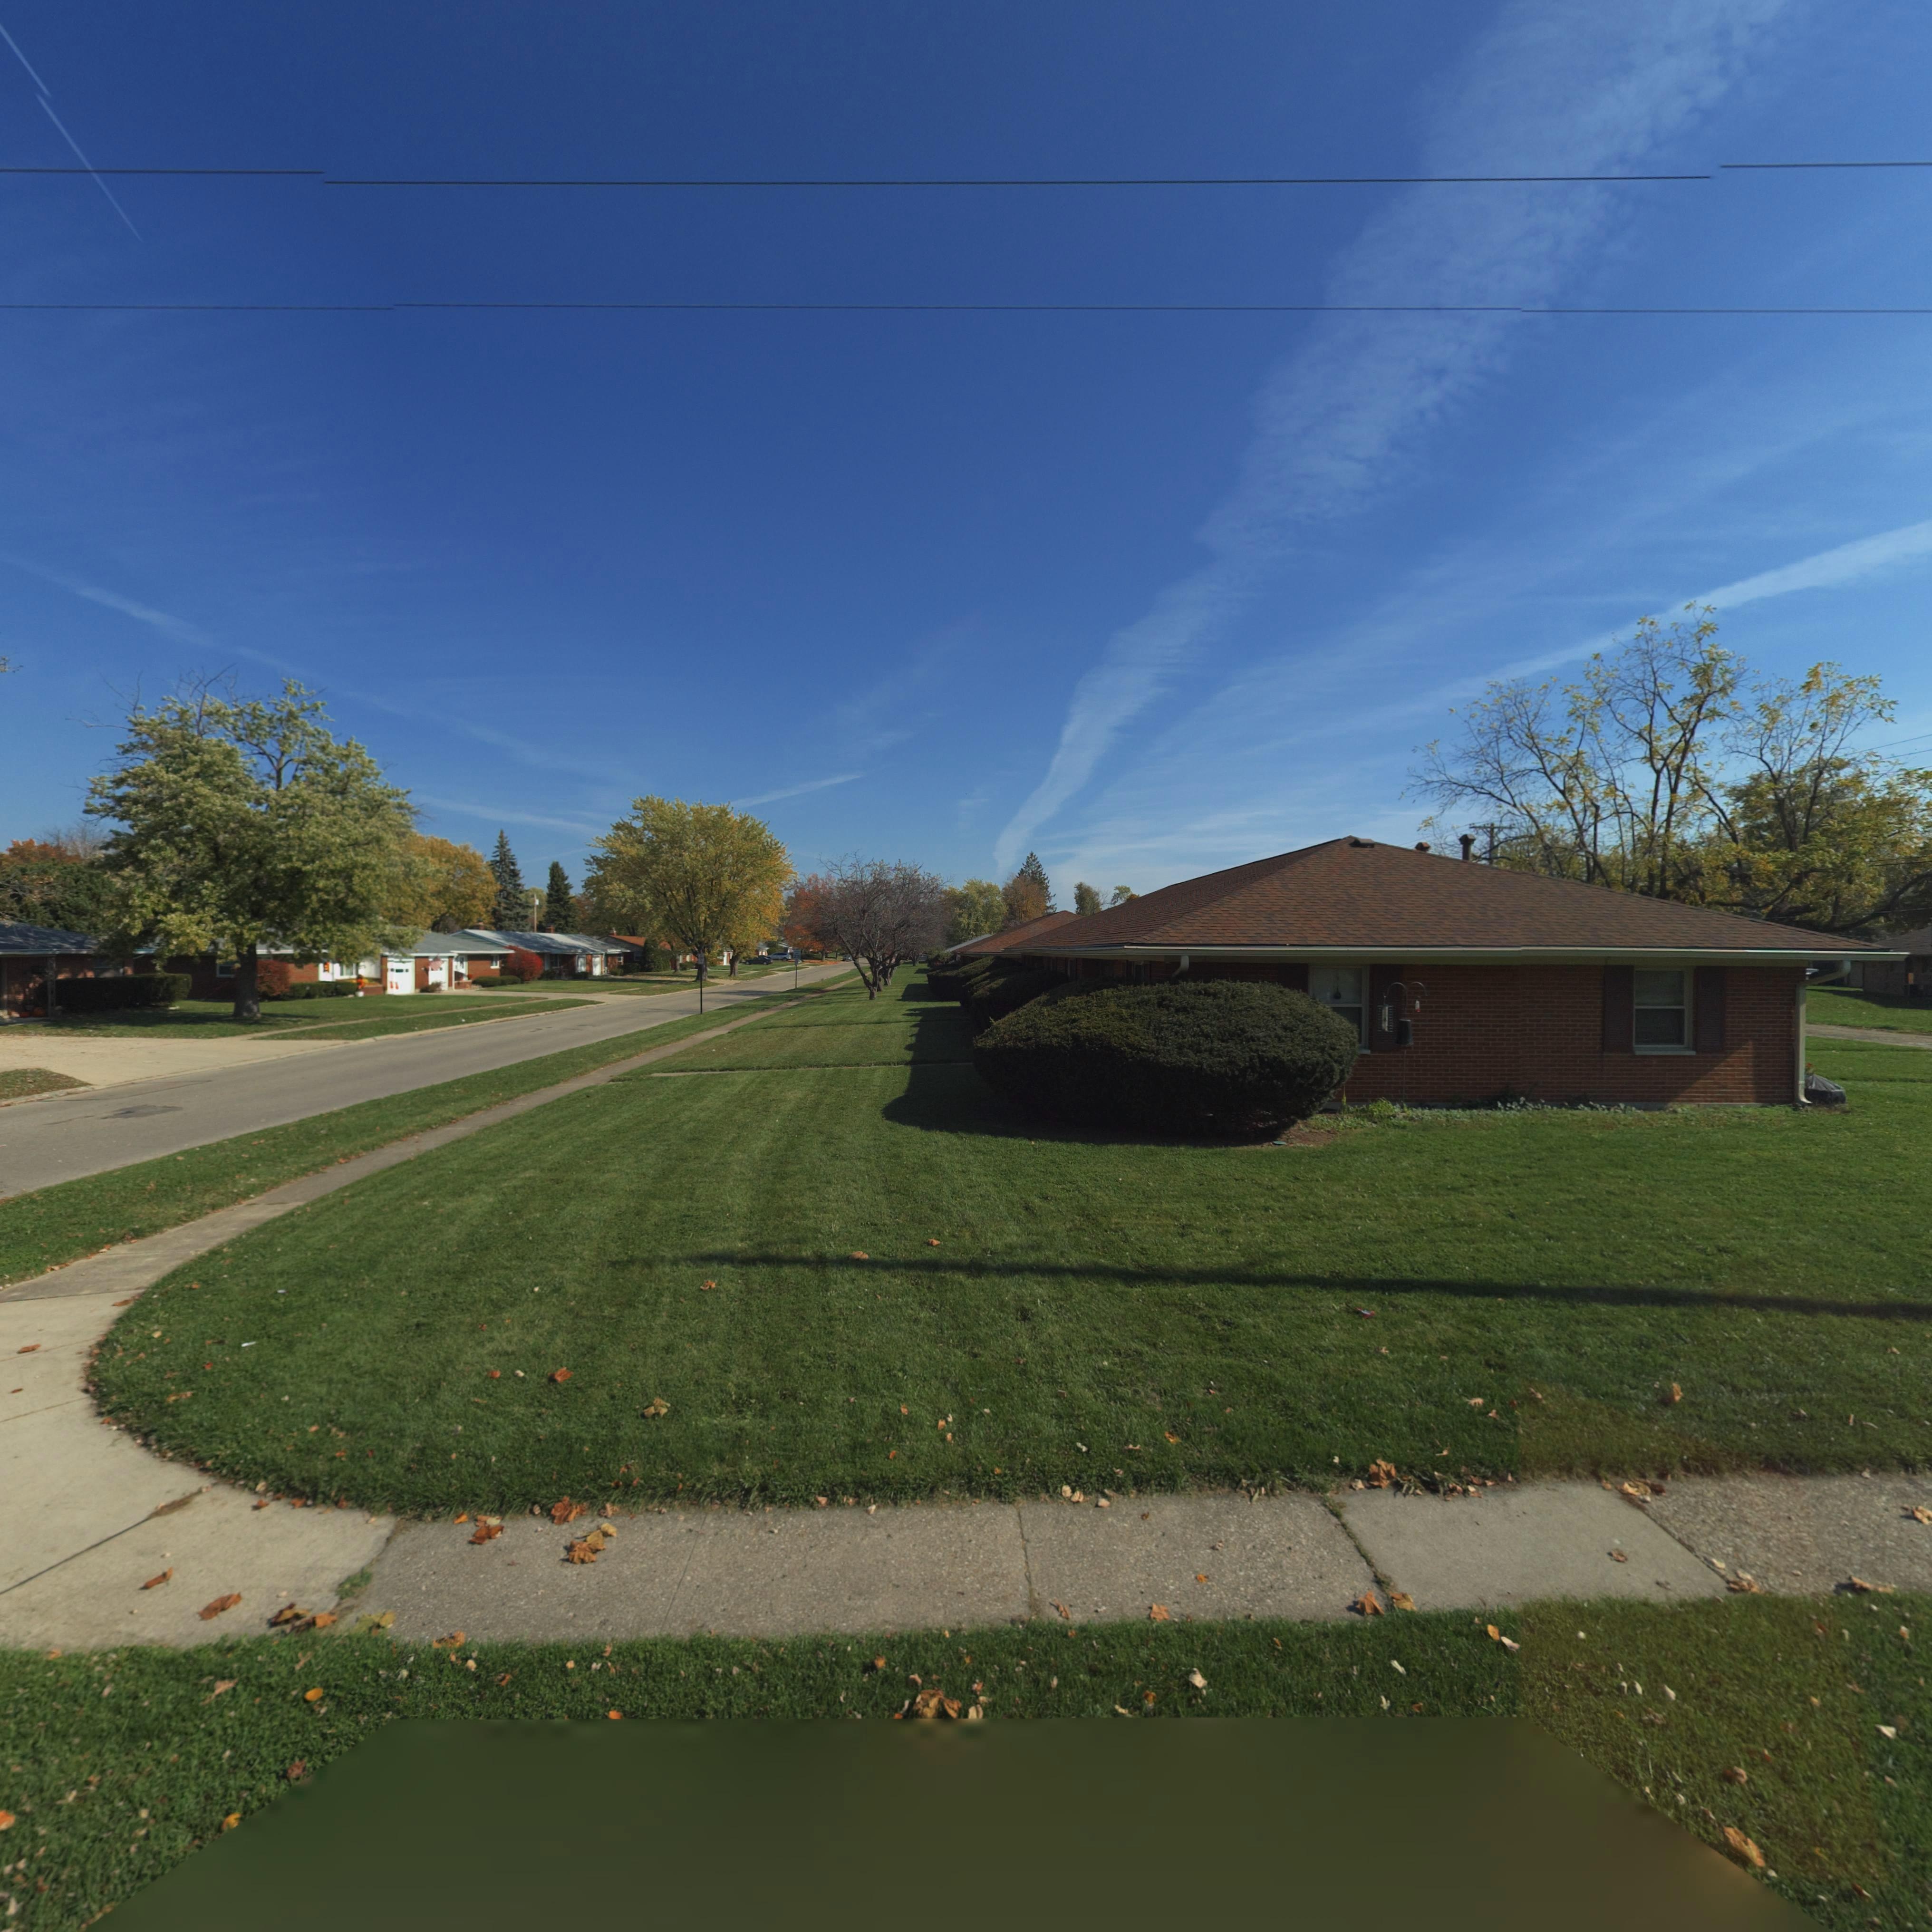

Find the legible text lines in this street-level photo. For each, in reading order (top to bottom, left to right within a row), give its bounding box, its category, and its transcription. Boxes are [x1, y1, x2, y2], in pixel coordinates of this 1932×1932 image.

[793, 954, 800, 959] None: 25